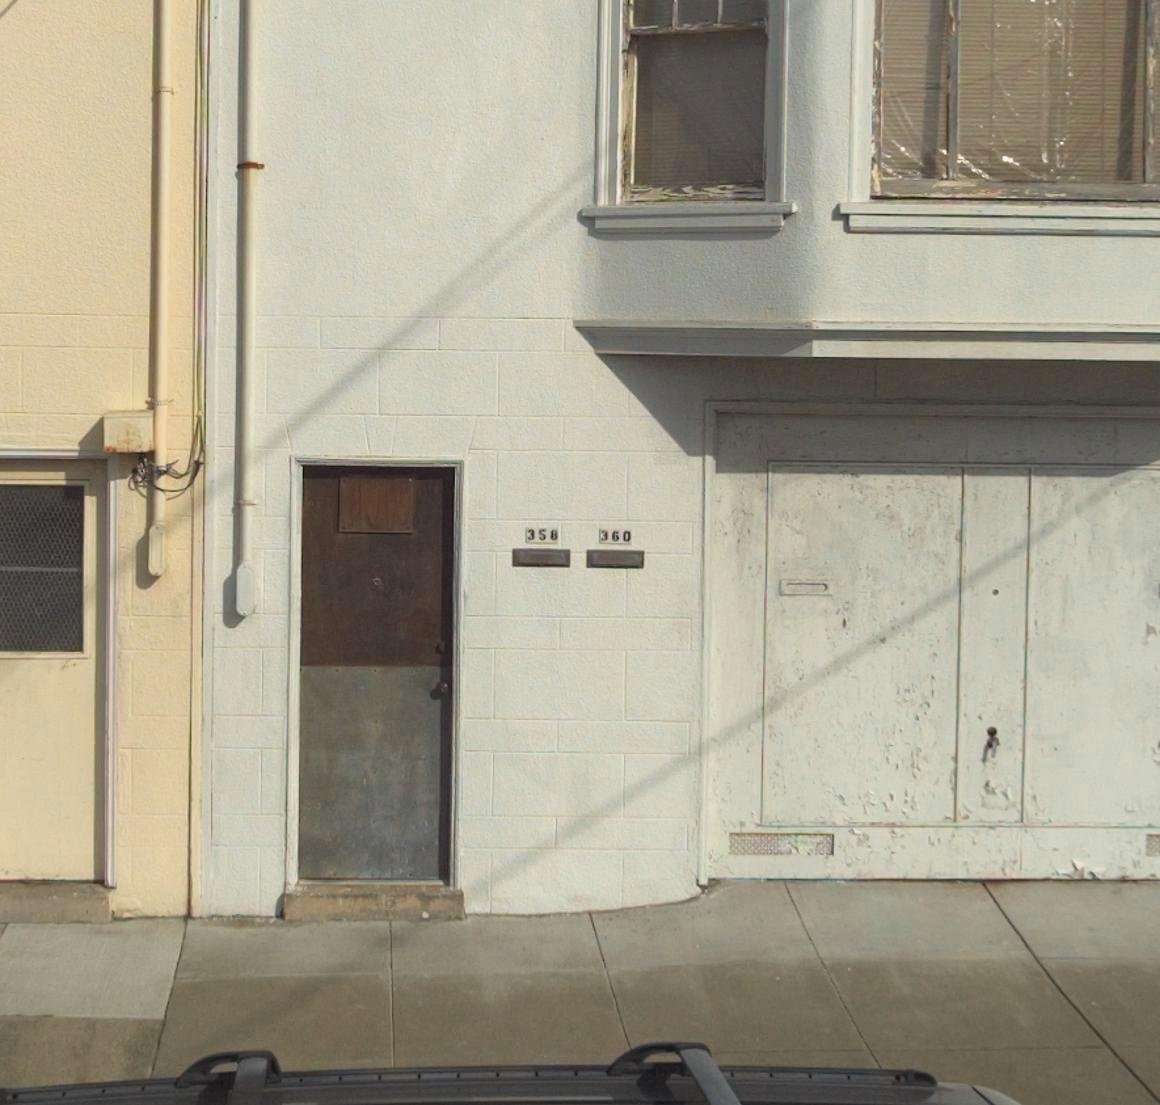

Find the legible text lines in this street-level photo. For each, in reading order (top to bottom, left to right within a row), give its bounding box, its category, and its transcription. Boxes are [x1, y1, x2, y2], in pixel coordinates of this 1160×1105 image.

[526, 527, 560, 542] StreetNumber: 358
[599, 529, 631, 543] StreetNumber: 360